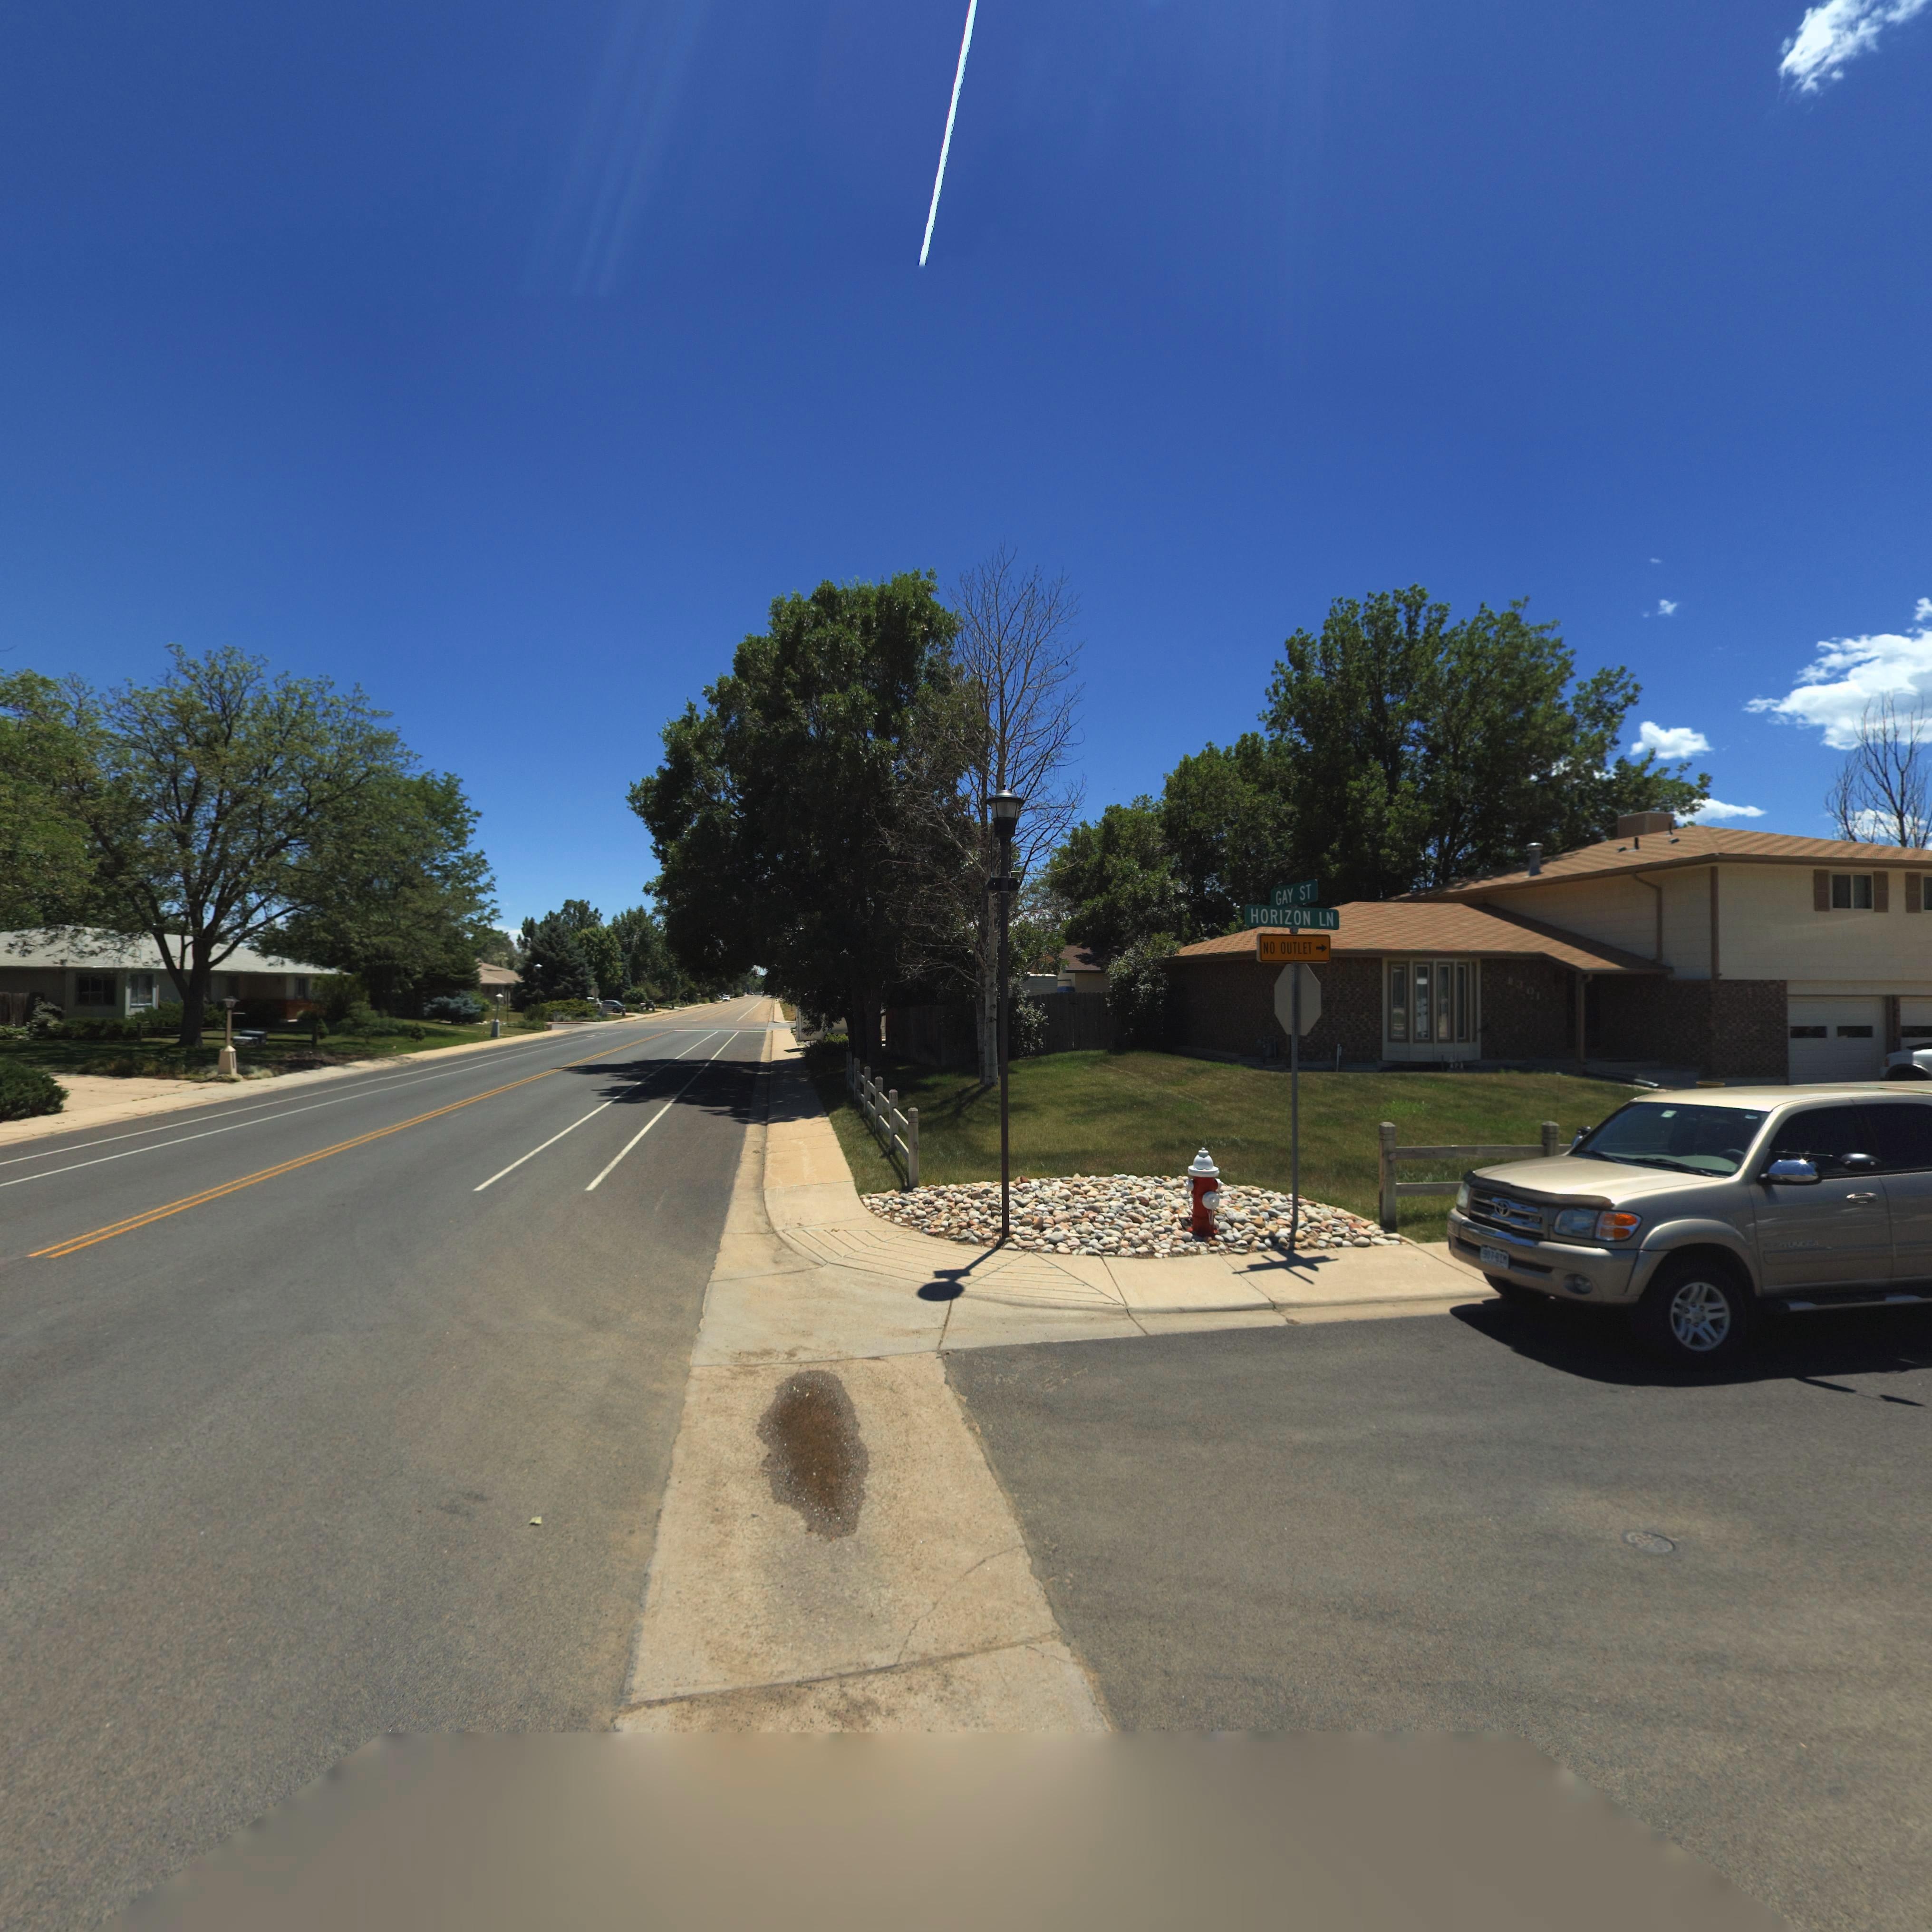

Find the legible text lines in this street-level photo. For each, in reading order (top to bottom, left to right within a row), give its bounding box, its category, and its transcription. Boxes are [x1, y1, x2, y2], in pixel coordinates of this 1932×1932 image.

[1274, 884, 1314, 906] StreetName: GAY ST
[1251, 908, 1333, 927] StreetName: HORIZON LN
[1508, 976, 1539, 1001] StreetNumber: 1301